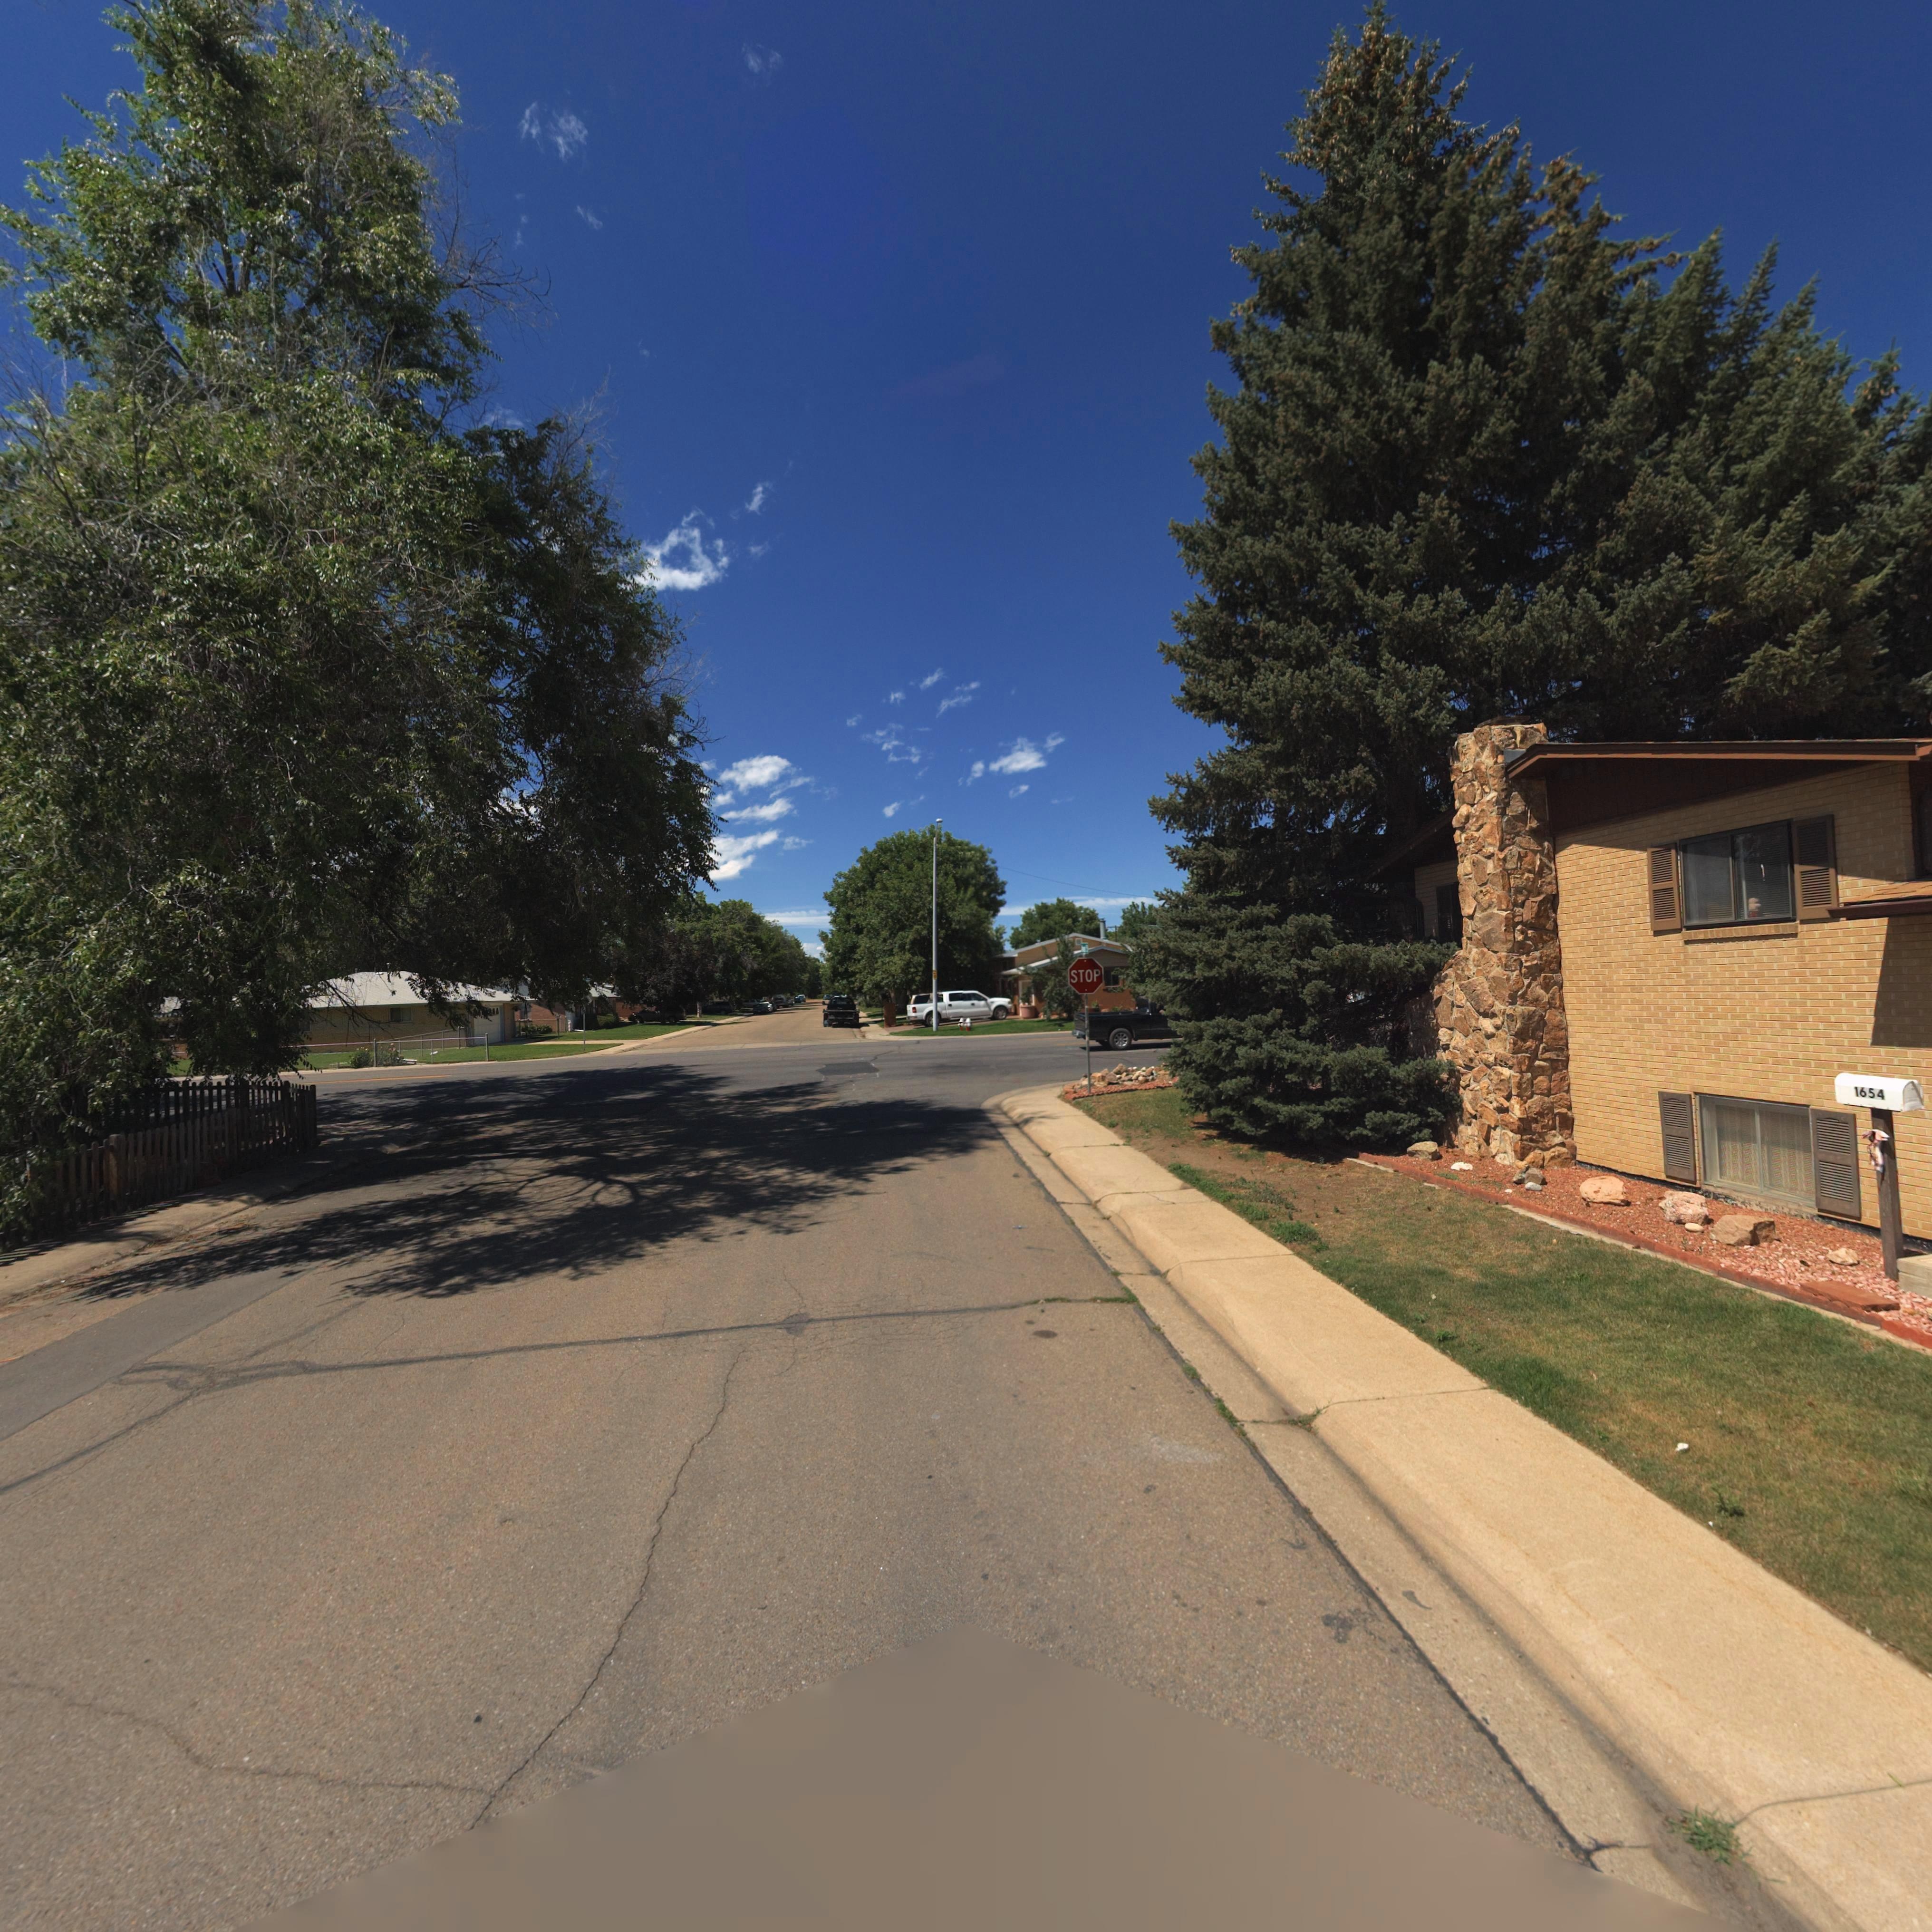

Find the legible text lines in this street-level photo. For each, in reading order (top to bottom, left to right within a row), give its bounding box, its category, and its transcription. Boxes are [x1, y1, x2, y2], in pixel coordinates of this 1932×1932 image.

[1854, 1085, 1885, 1100] StreetNumber: 1654